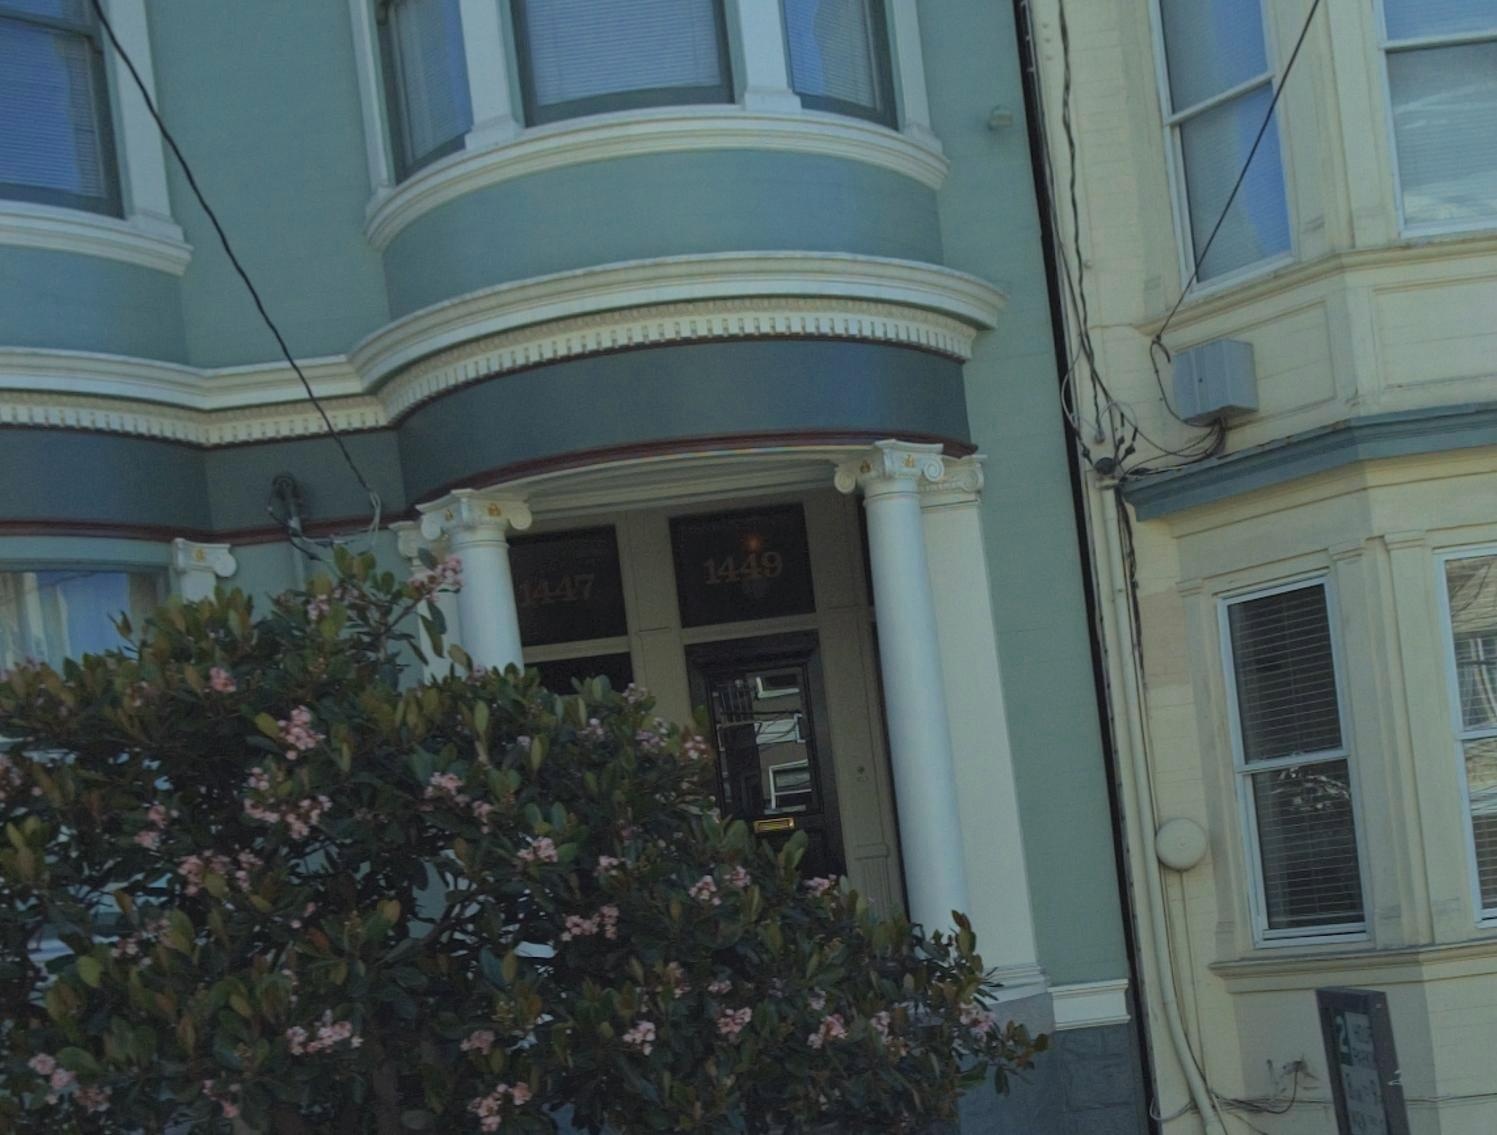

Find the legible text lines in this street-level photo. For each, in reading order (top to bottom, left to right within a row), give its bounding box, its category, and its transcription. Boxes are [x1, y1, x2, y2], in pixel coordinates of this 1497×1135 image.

[700, 548, 785, 588] StreetNumber: 1449
[518, 570, 598, 610] StreetNumber: 1447
[1331, 1009, 1352, 1055] None: 2